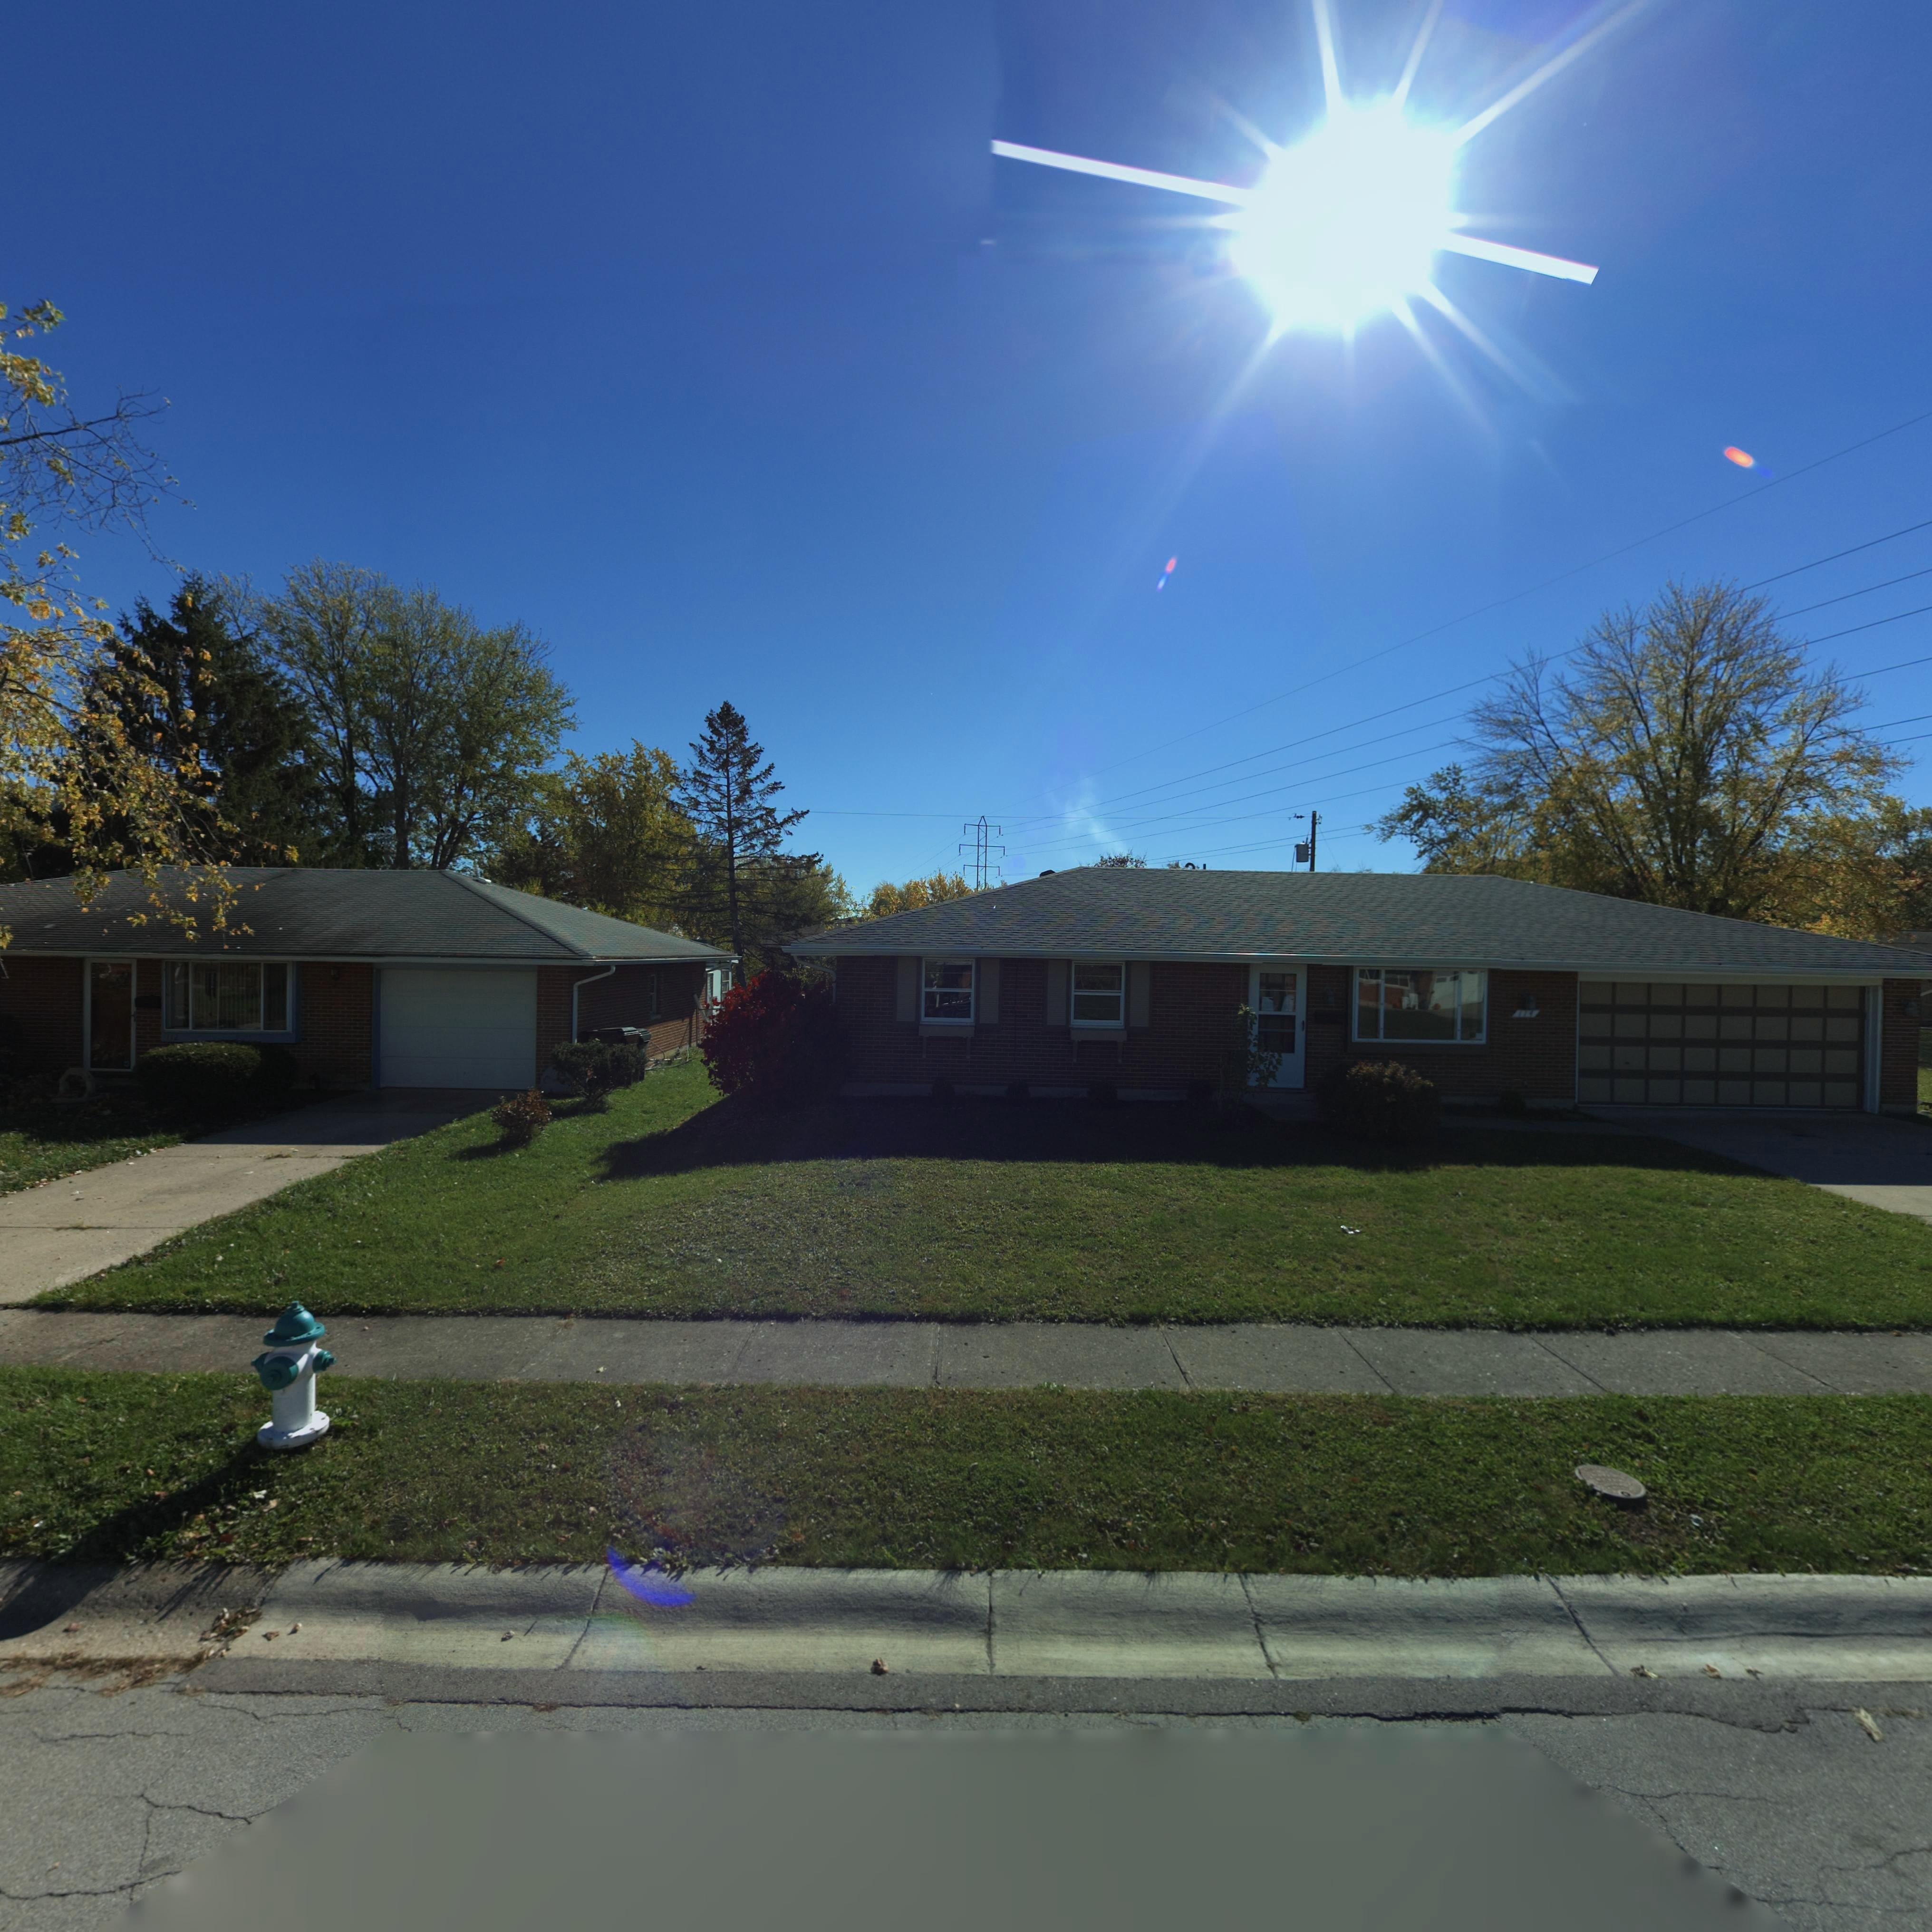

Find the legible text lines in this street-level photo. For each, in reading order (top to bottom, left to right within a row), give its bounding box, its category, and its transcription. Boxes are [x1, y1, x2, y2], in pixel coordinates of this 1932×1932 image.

[1517, 1009, 1534, 1018] StreetNumber: 114